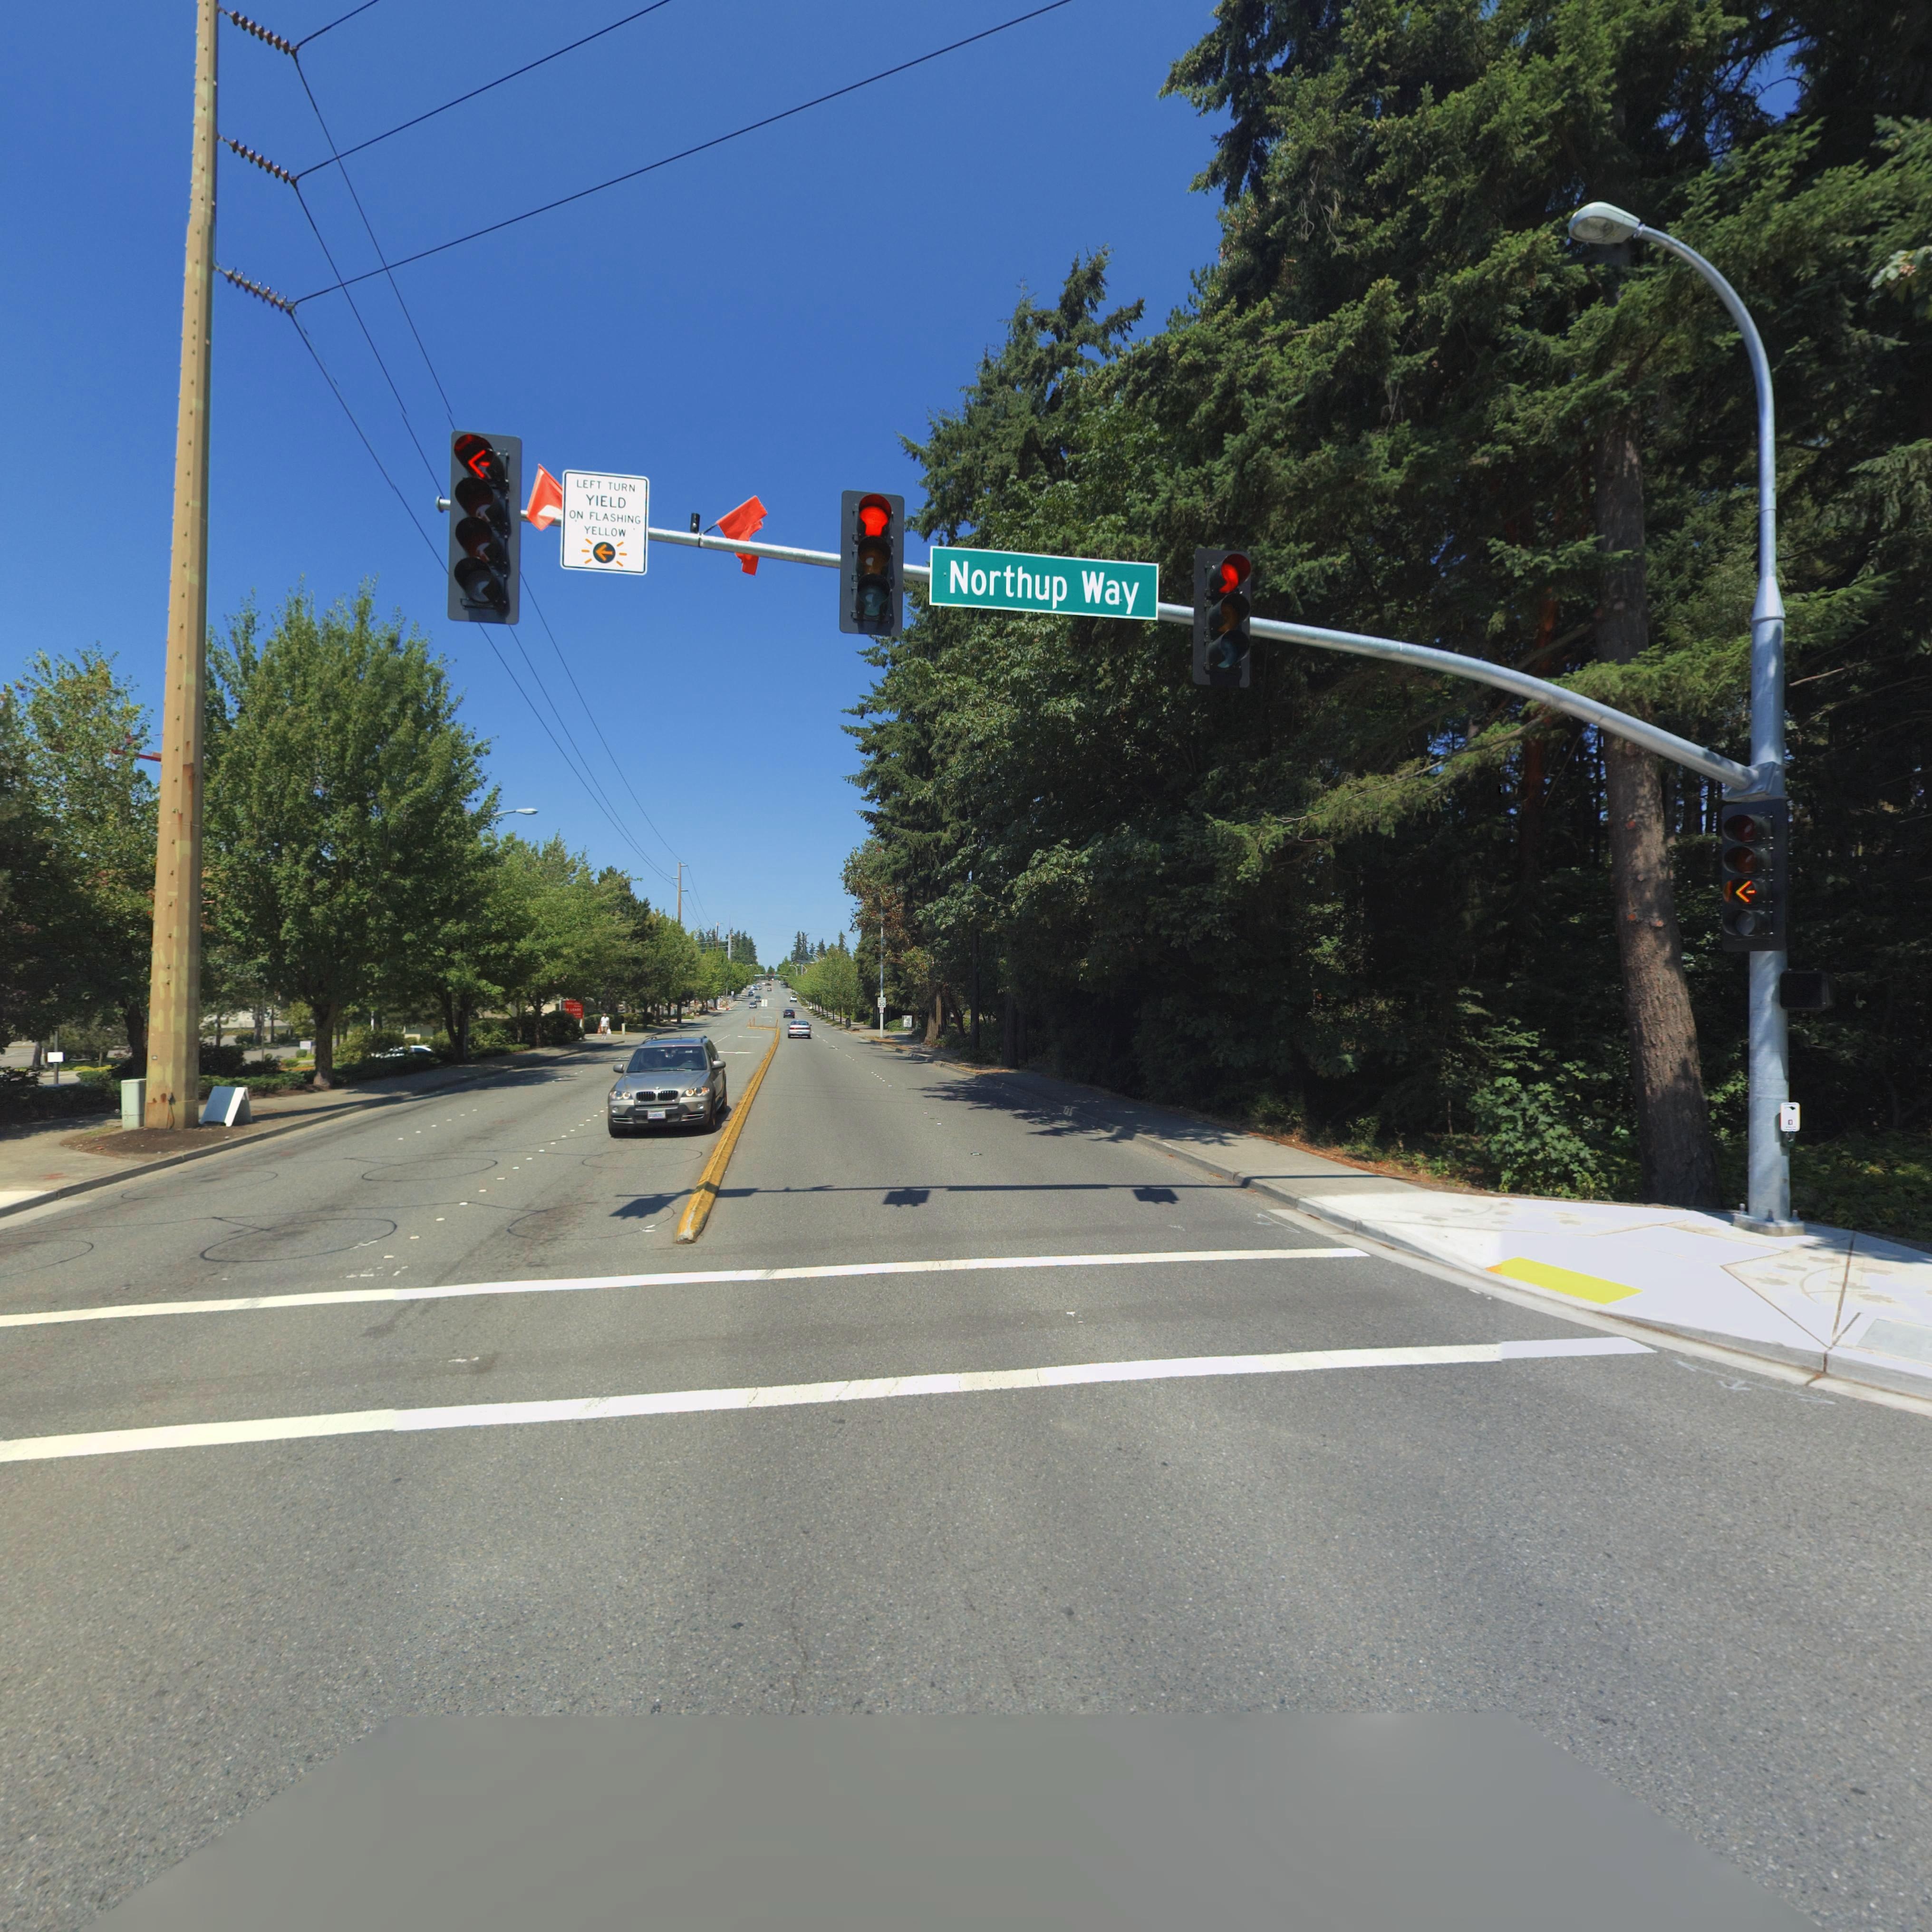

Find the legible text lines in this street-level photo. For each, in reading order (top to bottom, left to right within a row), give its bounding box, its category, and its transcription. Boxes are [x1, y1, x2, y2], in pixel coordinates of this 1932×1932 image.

[947, 553, 1147, 617] StreetName: Northup Way